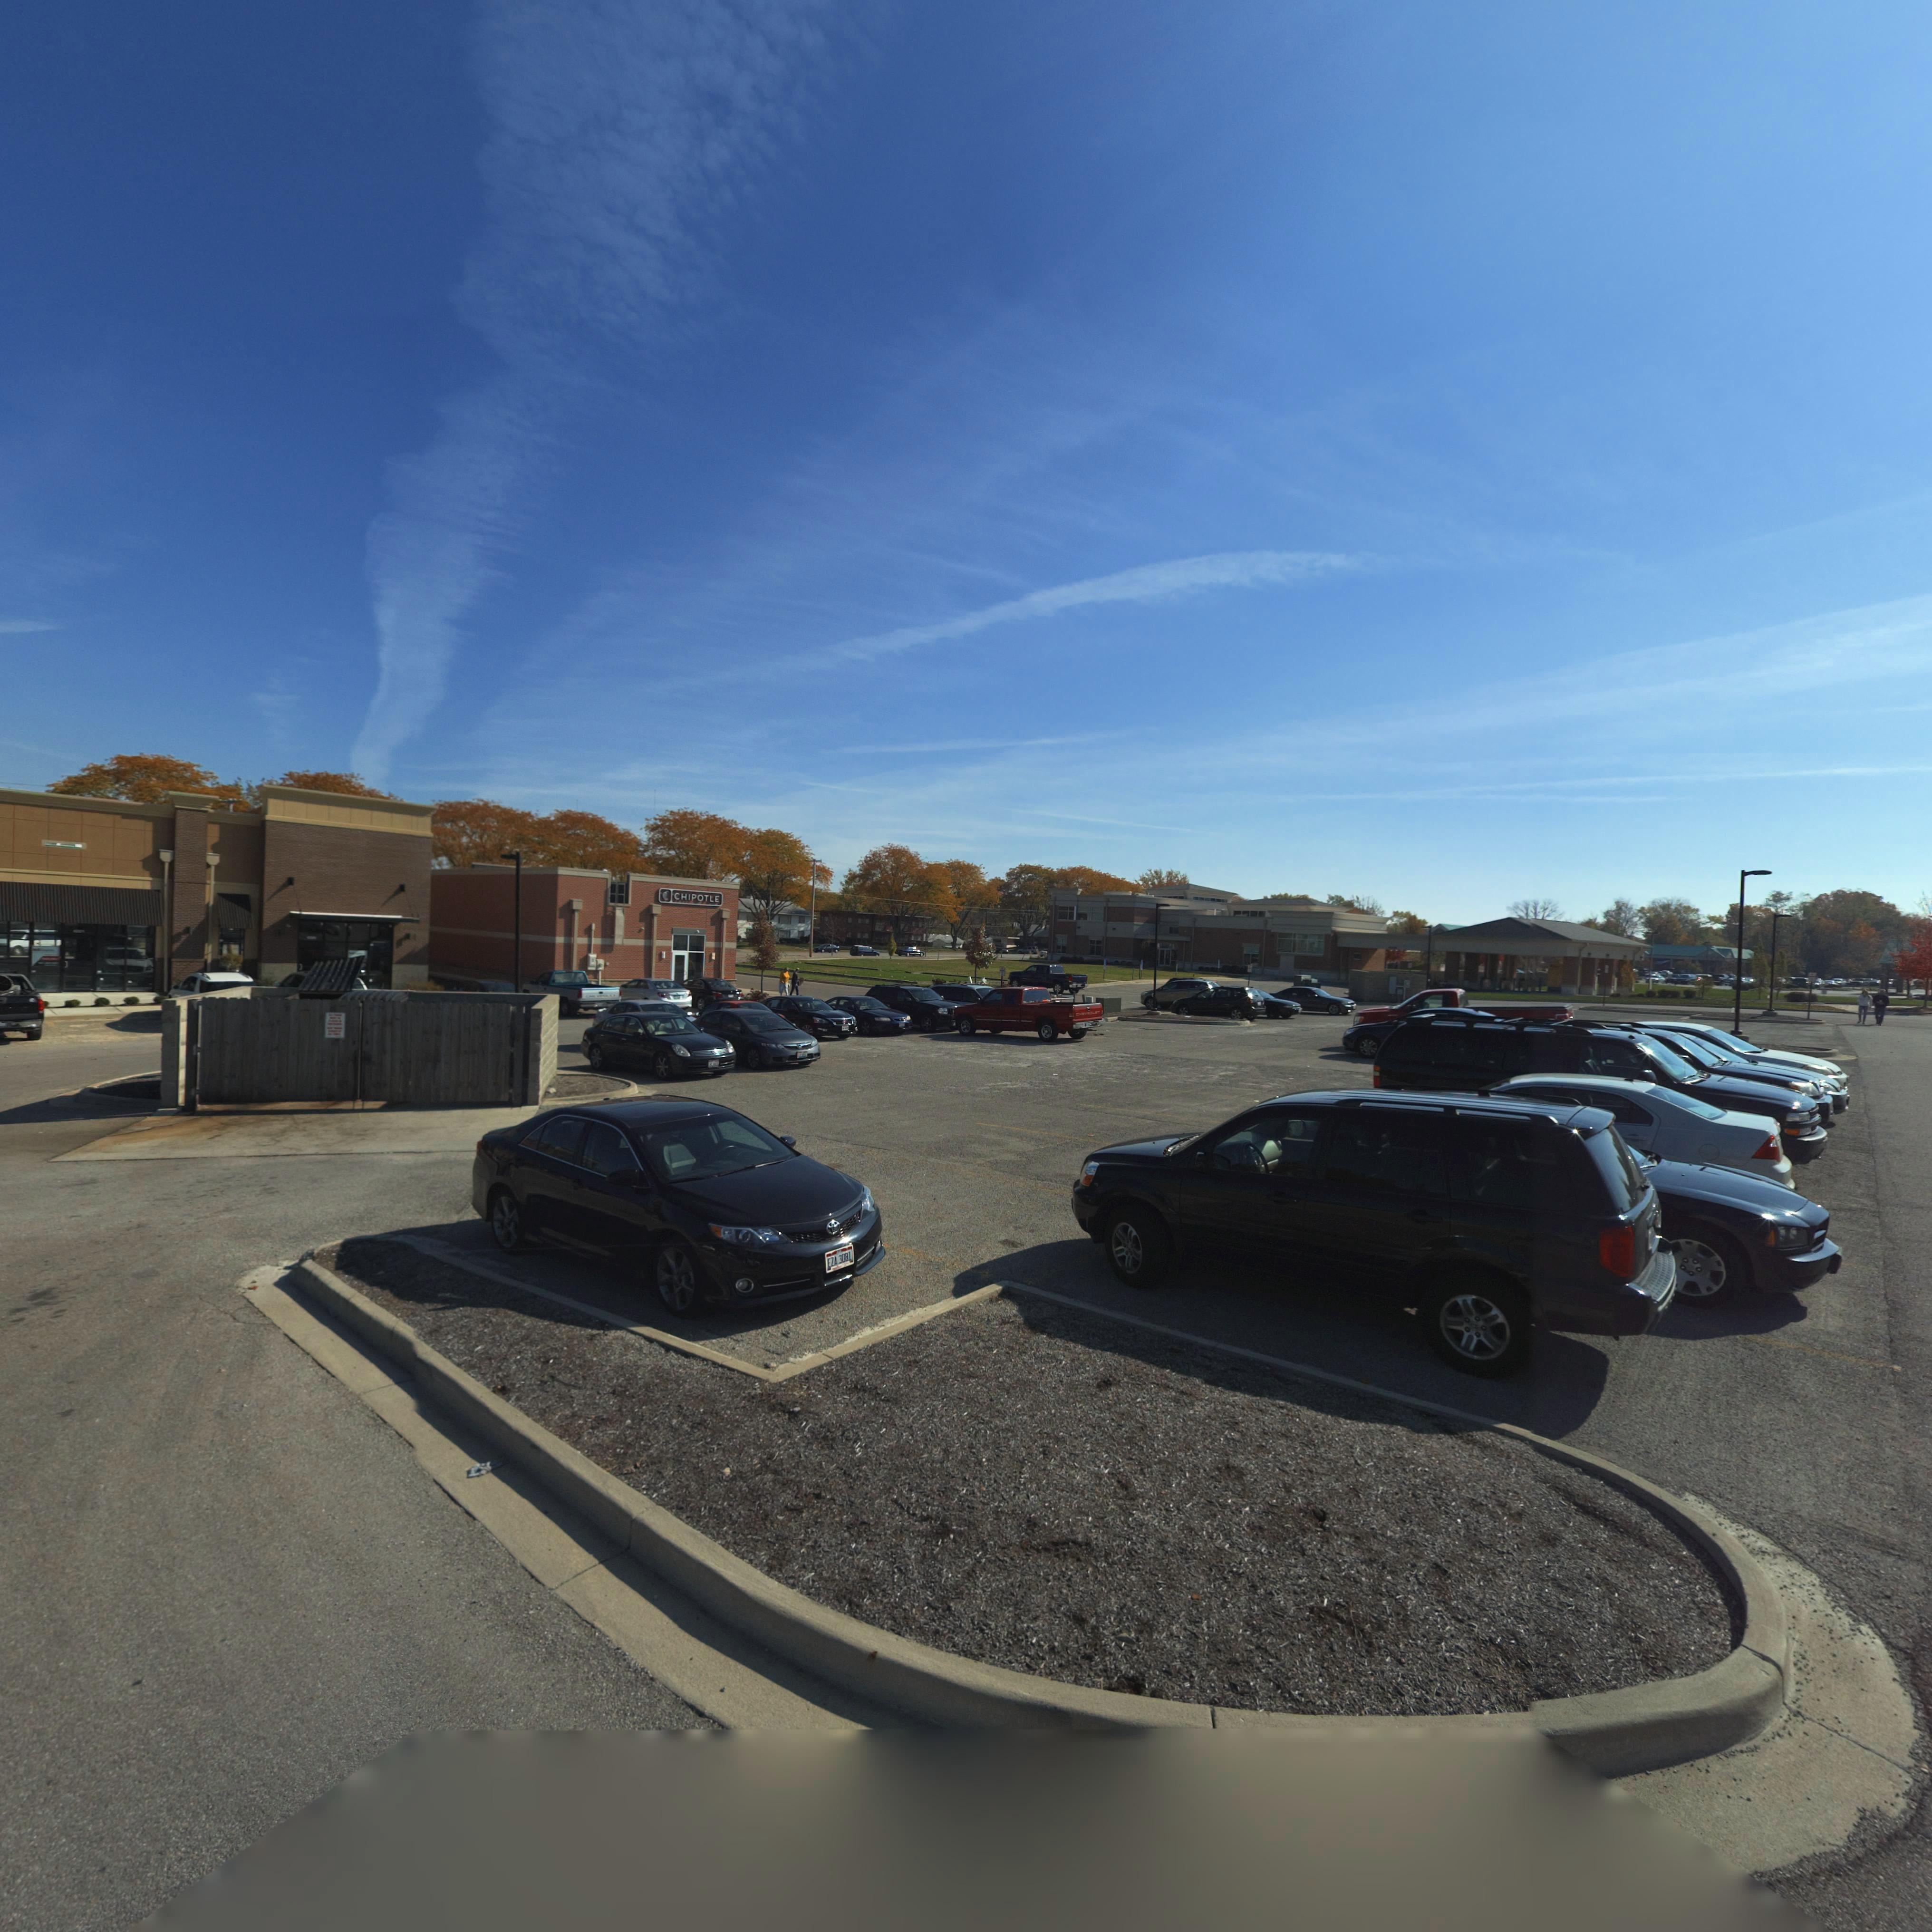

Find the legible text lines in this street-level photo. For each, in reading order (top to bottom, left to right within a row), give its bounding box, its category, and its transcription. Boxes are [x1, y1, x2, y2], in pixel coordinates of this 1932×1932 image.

[673, 890, 721, 904] BusinessName: CHIPOTLE